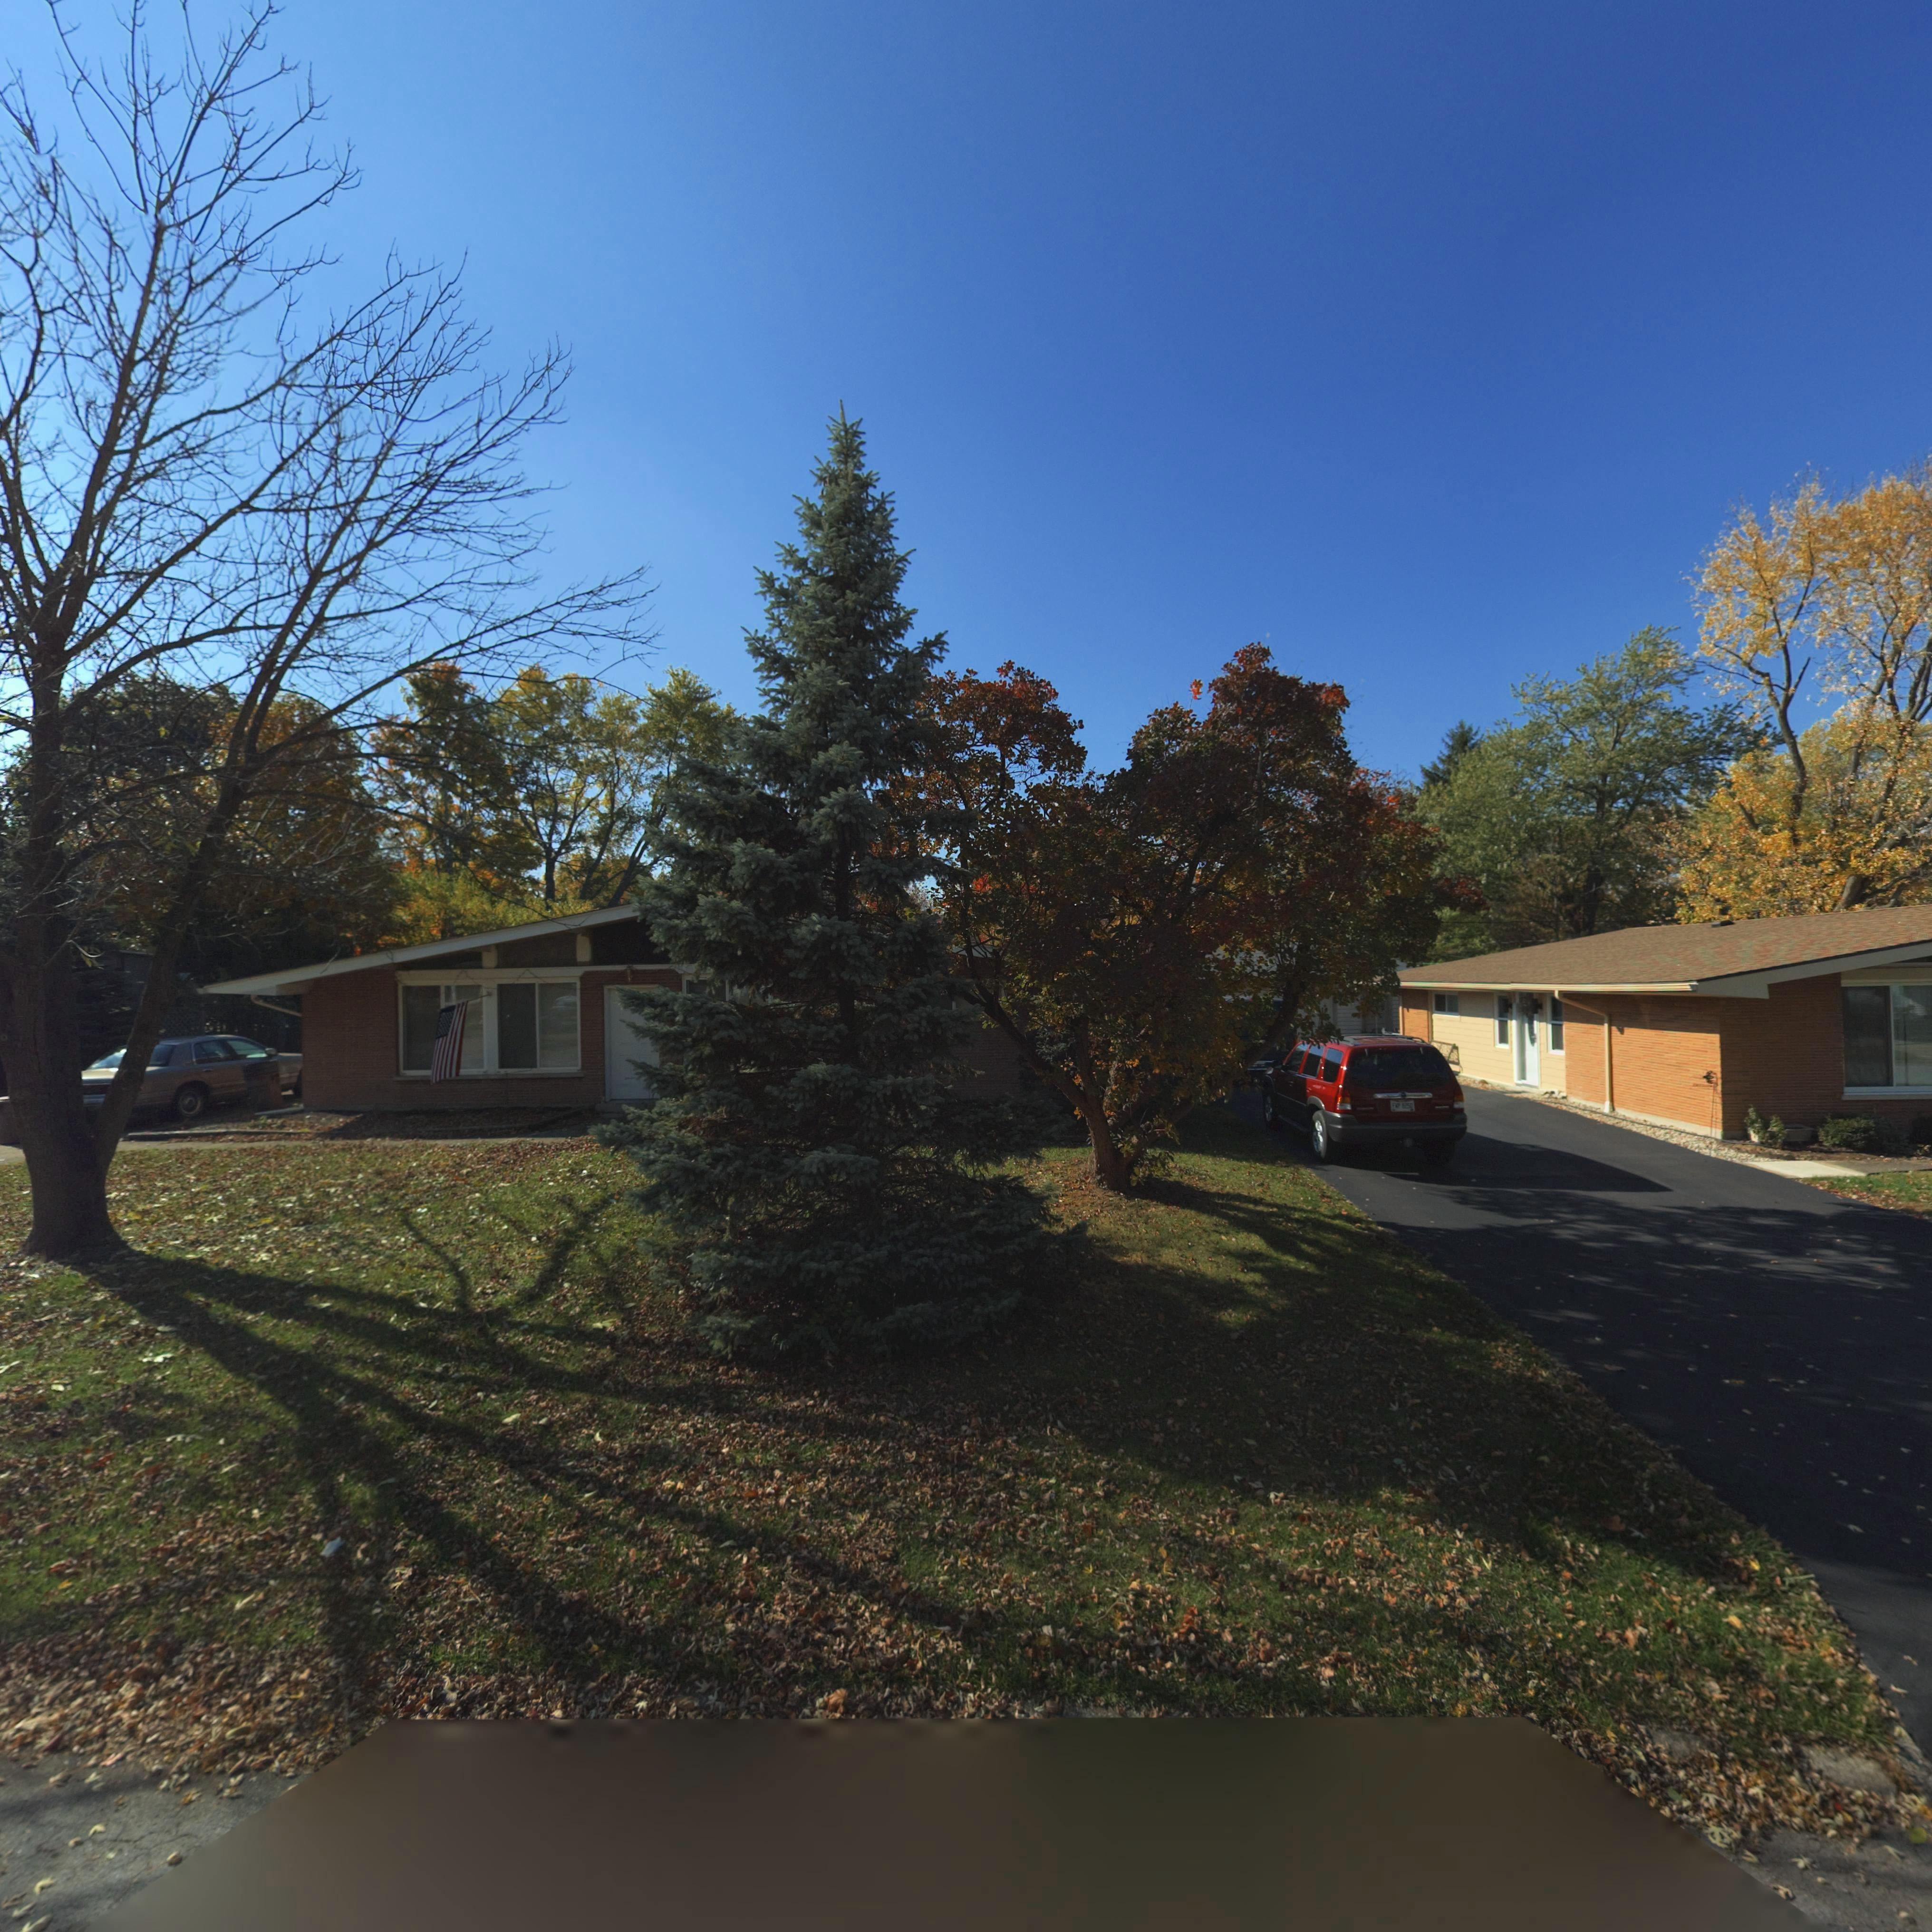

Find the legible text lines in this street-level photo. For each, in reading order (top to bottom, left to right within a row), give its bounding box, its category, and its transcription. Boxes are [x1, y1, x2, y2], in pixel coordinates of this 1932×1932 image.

[1391, 1102, 1414, 1109] None: FWP*8250